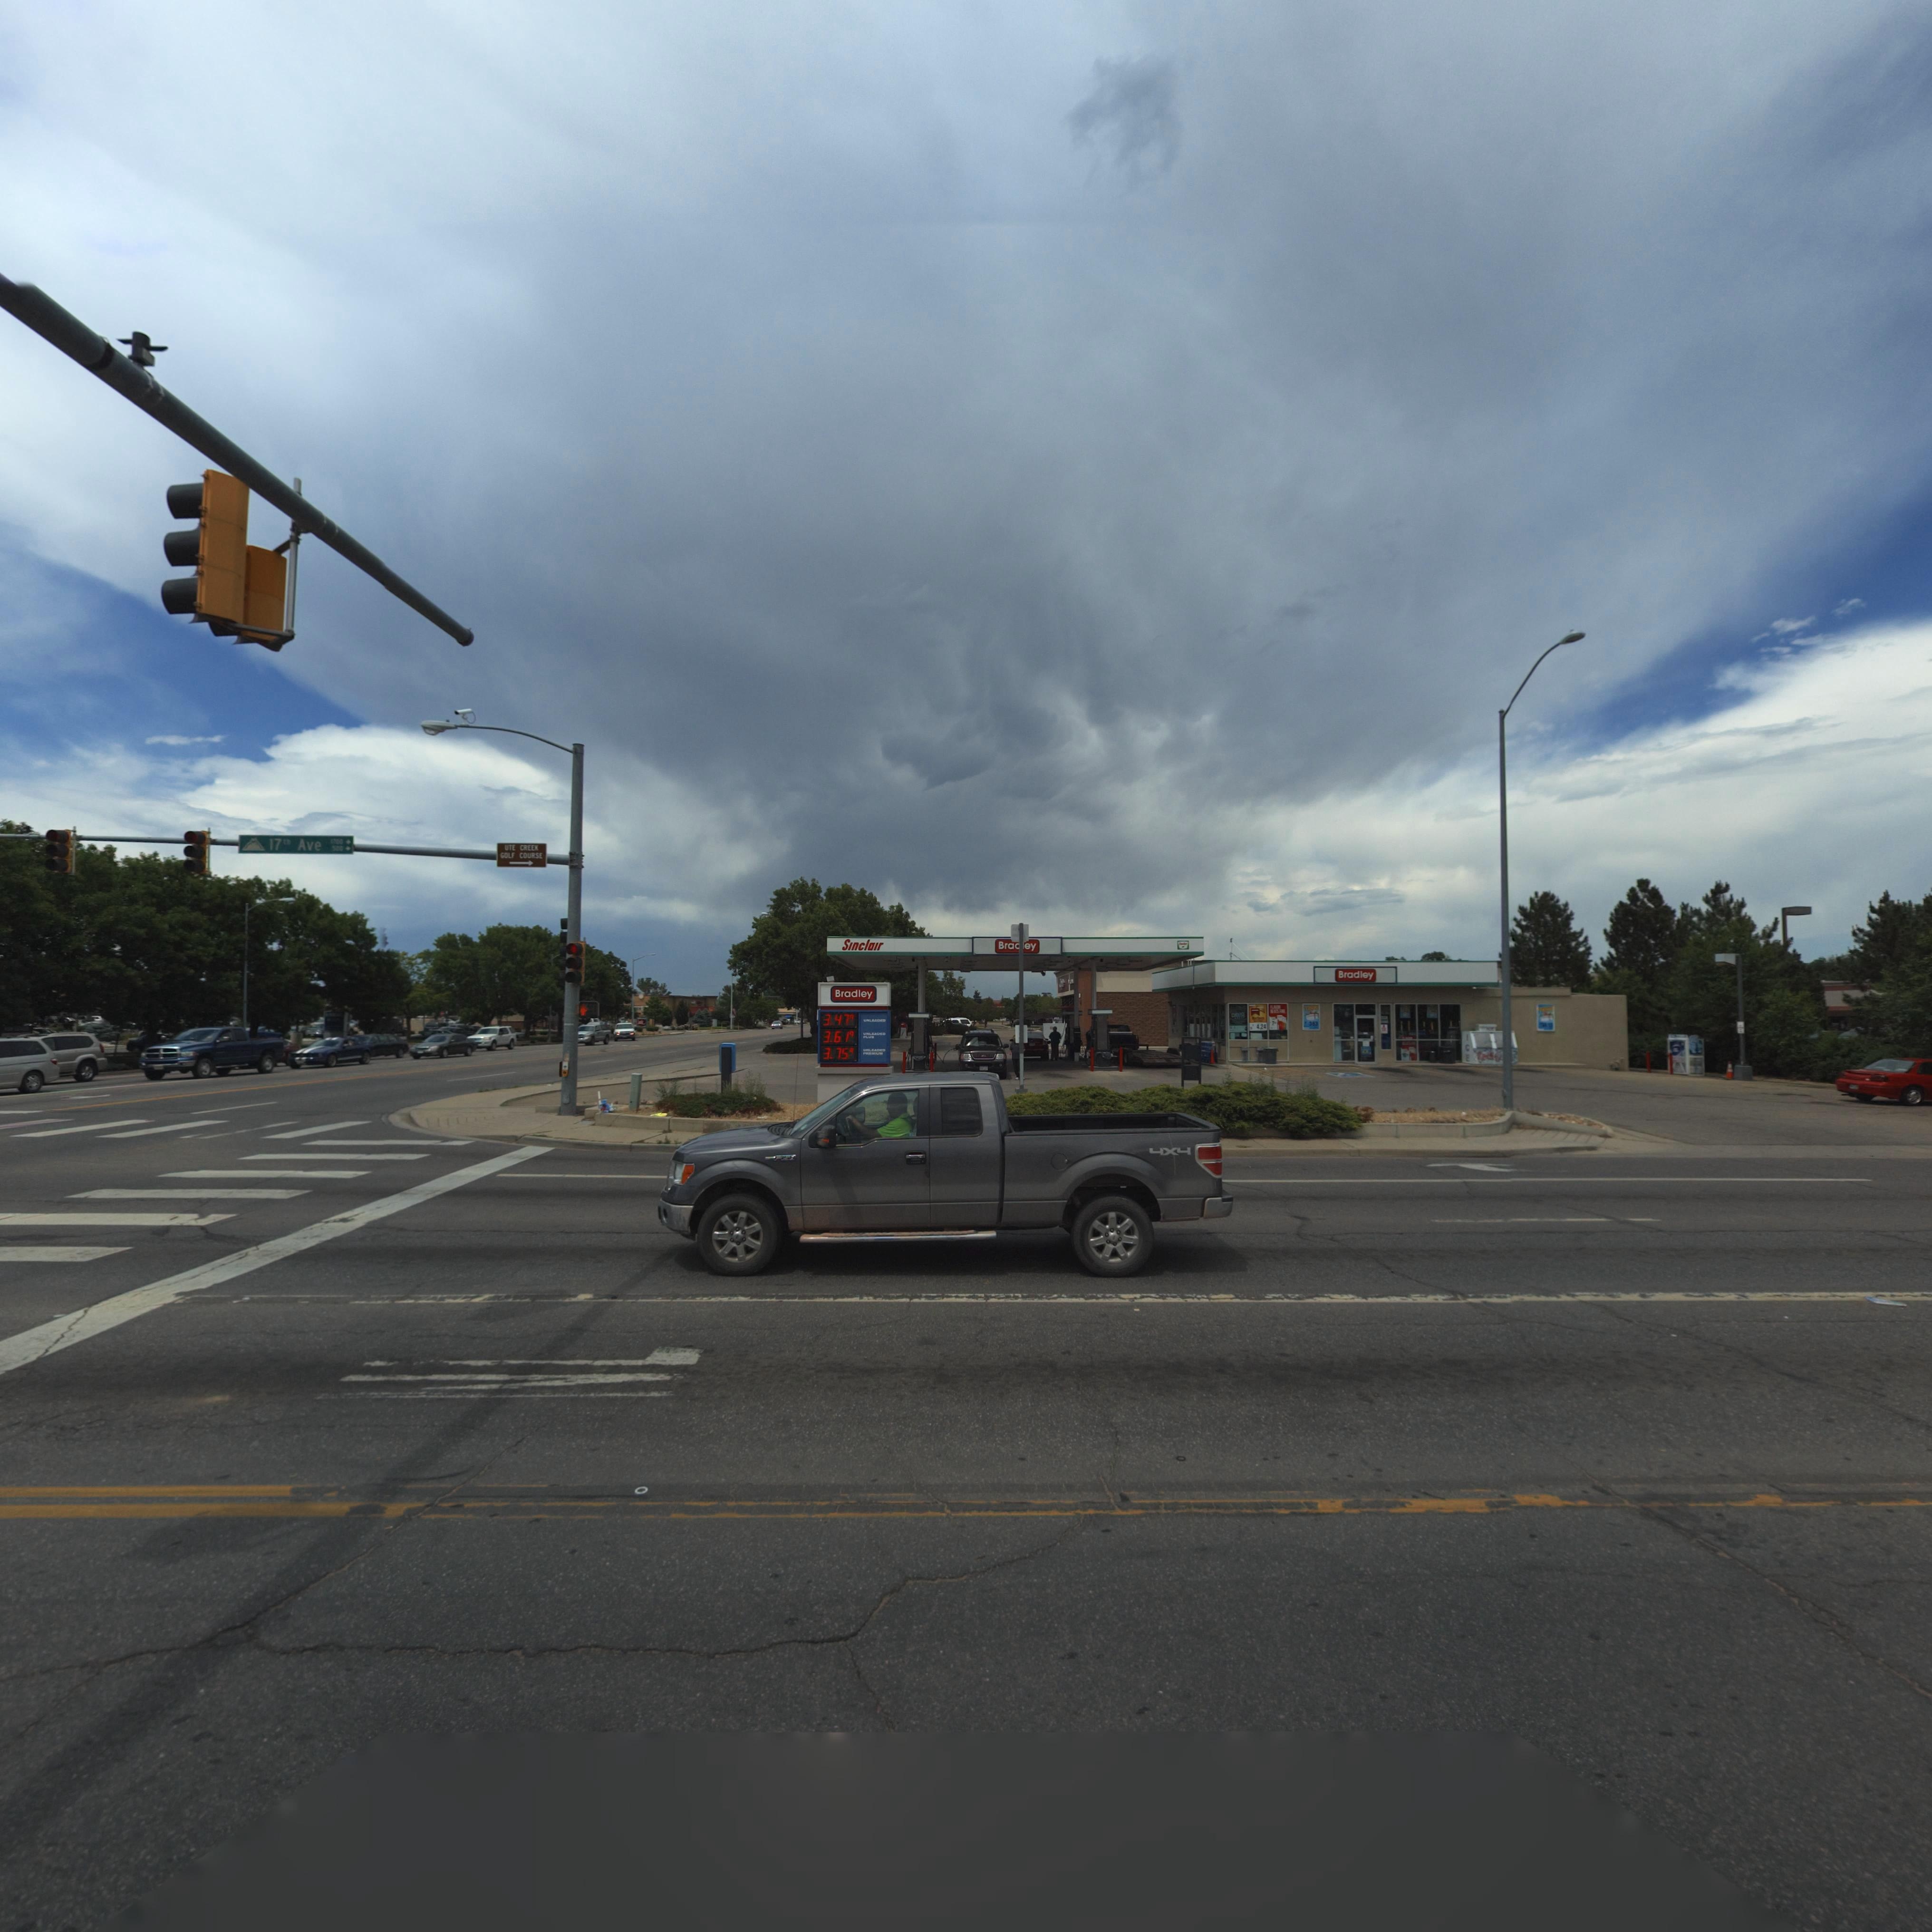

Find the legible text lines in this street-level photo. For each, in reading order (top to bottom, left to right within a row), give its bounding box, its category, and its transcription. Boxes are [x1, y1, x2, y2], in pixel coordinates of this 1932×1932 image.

[269, 838, 321, 851] StreetName: 17** Ave
[330, 838, 344, 845] StreetNumberRange: 1***
[331, 845, 344, 851] StreetNumberRange: 5**
[841, 938, 885, 951] BusinessName: SInclaIr
[998, 940, 1037, 951] BusinessName: Bra**ey
[1338, 970, 1374, 980] BusinessName: Bradley
[835, 989, 873, 999] BusinessName: Bradley